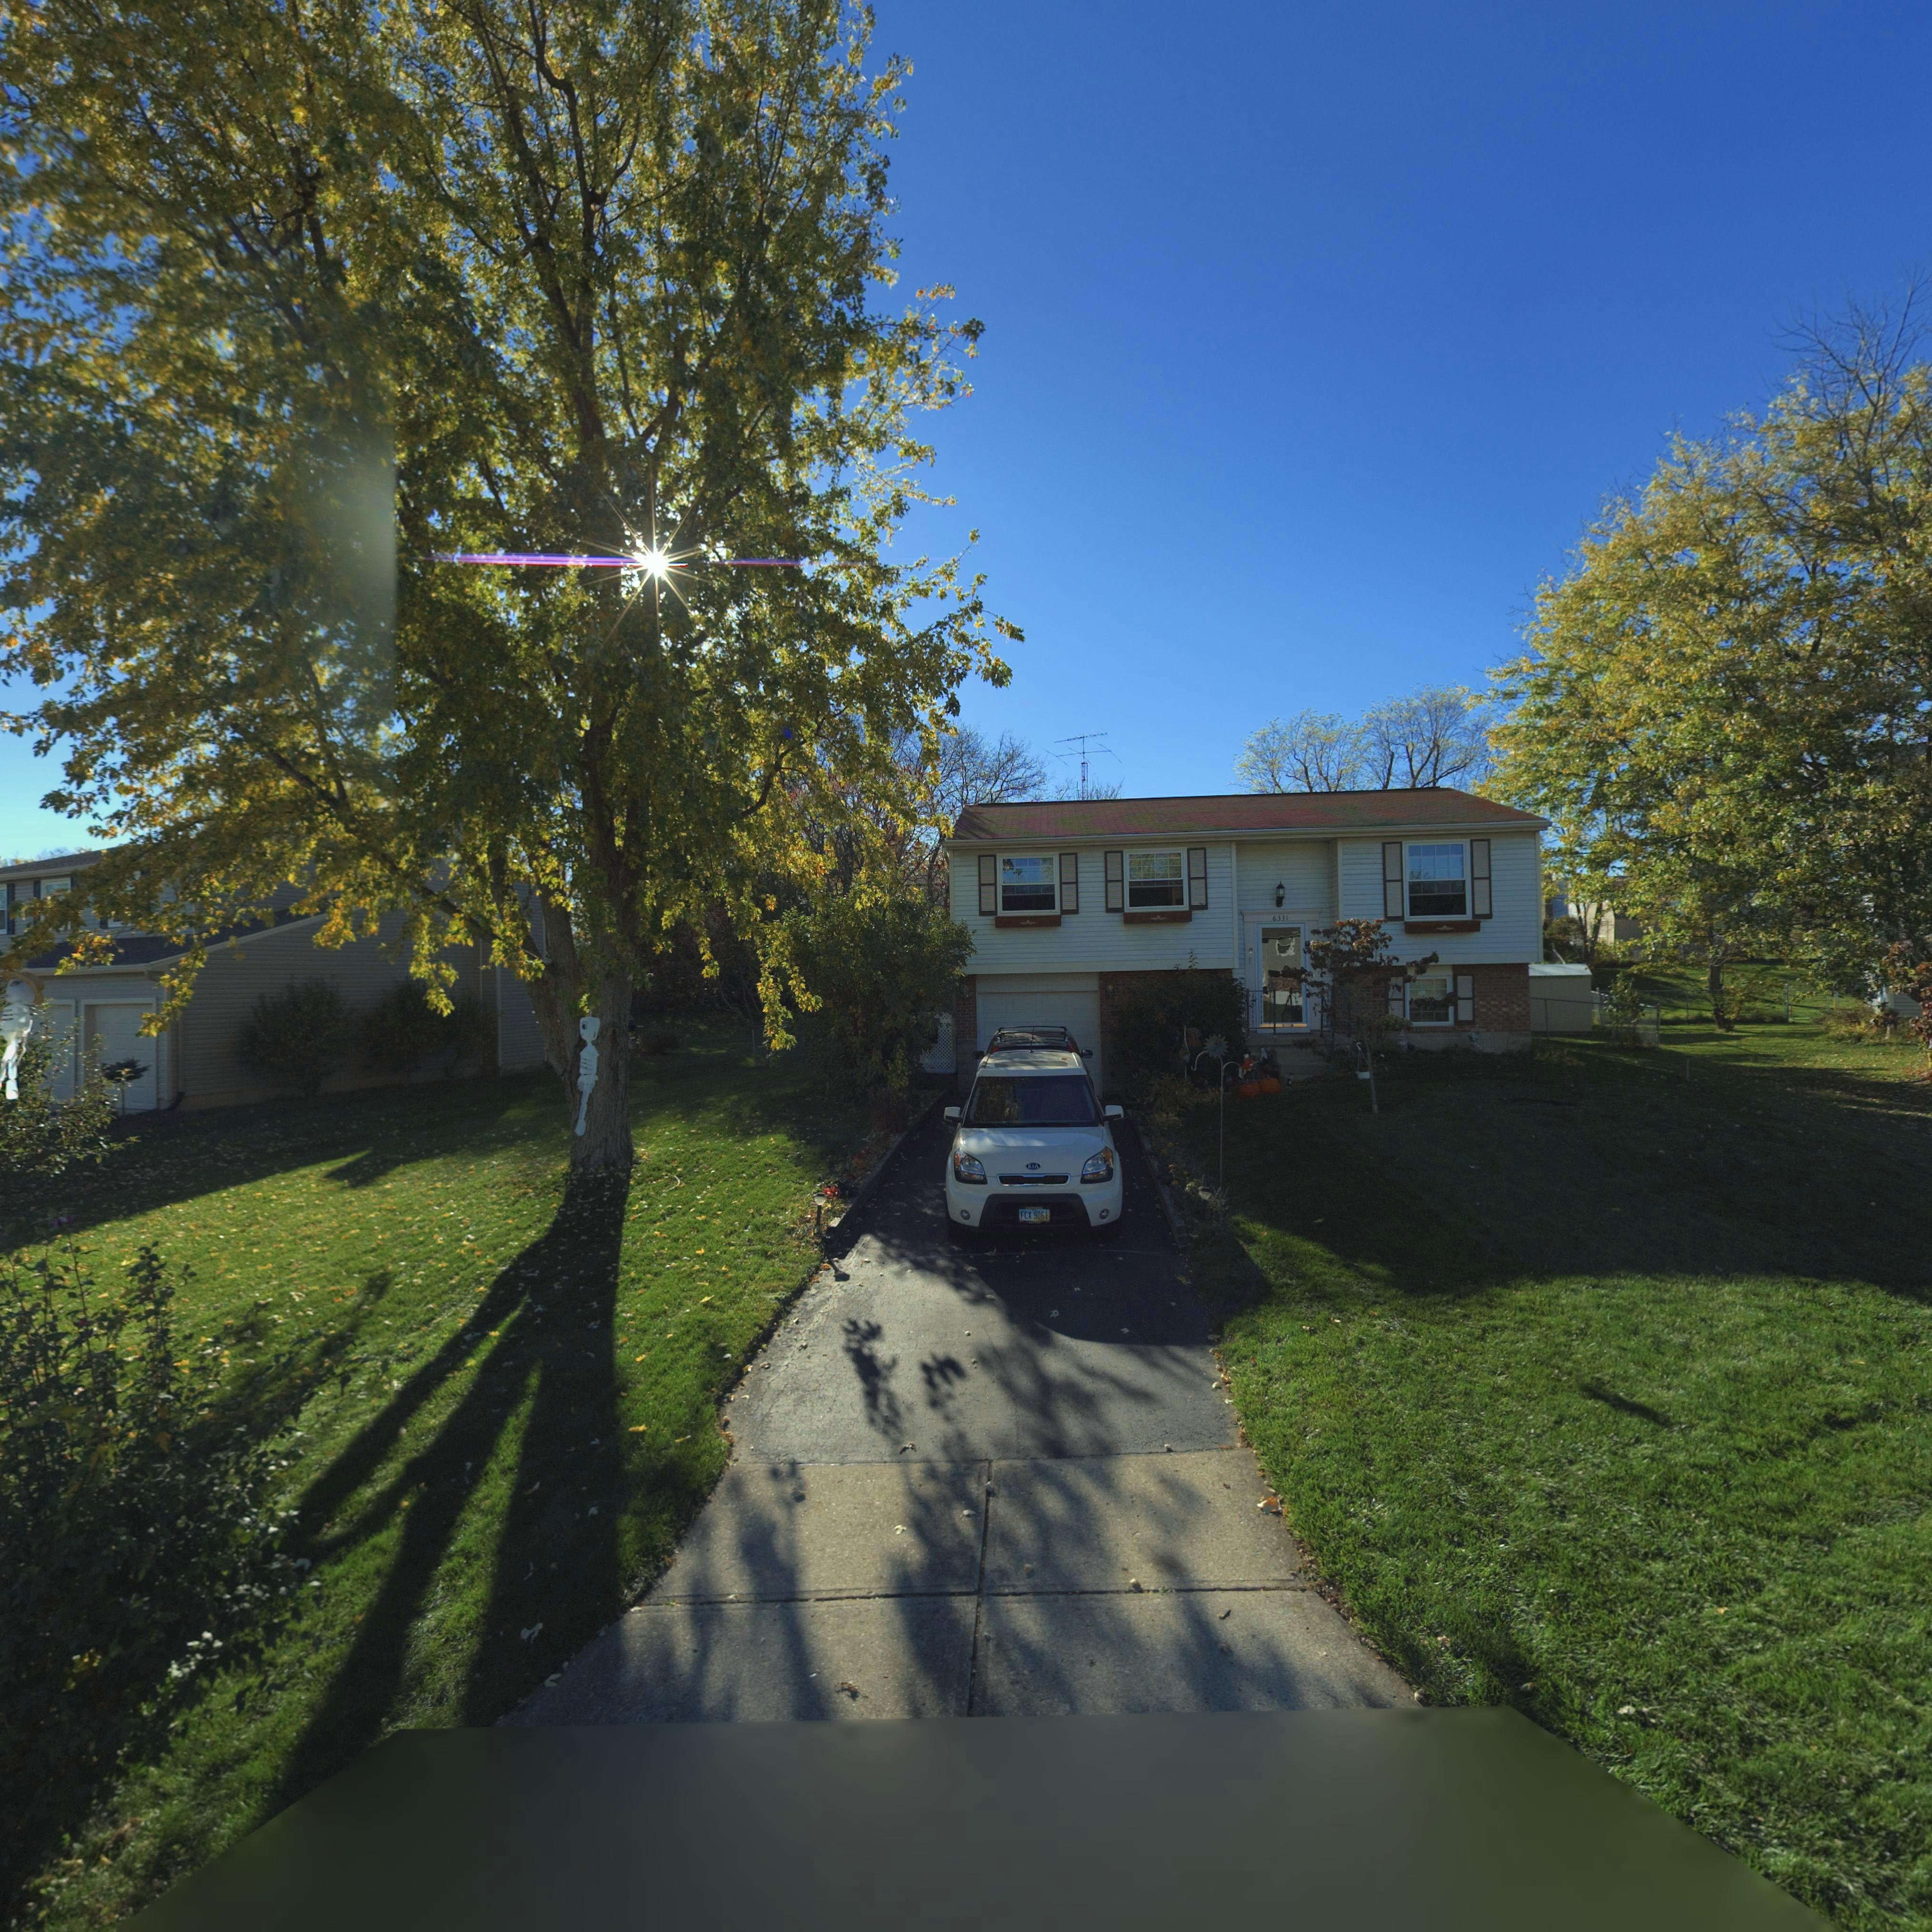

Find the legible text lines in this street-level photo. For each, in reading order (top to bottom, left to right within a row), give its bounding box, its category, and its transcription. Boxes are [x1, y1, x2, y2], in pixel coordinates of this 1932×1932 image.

[1271, 914, 1289, 922] StreetNumber: 6331